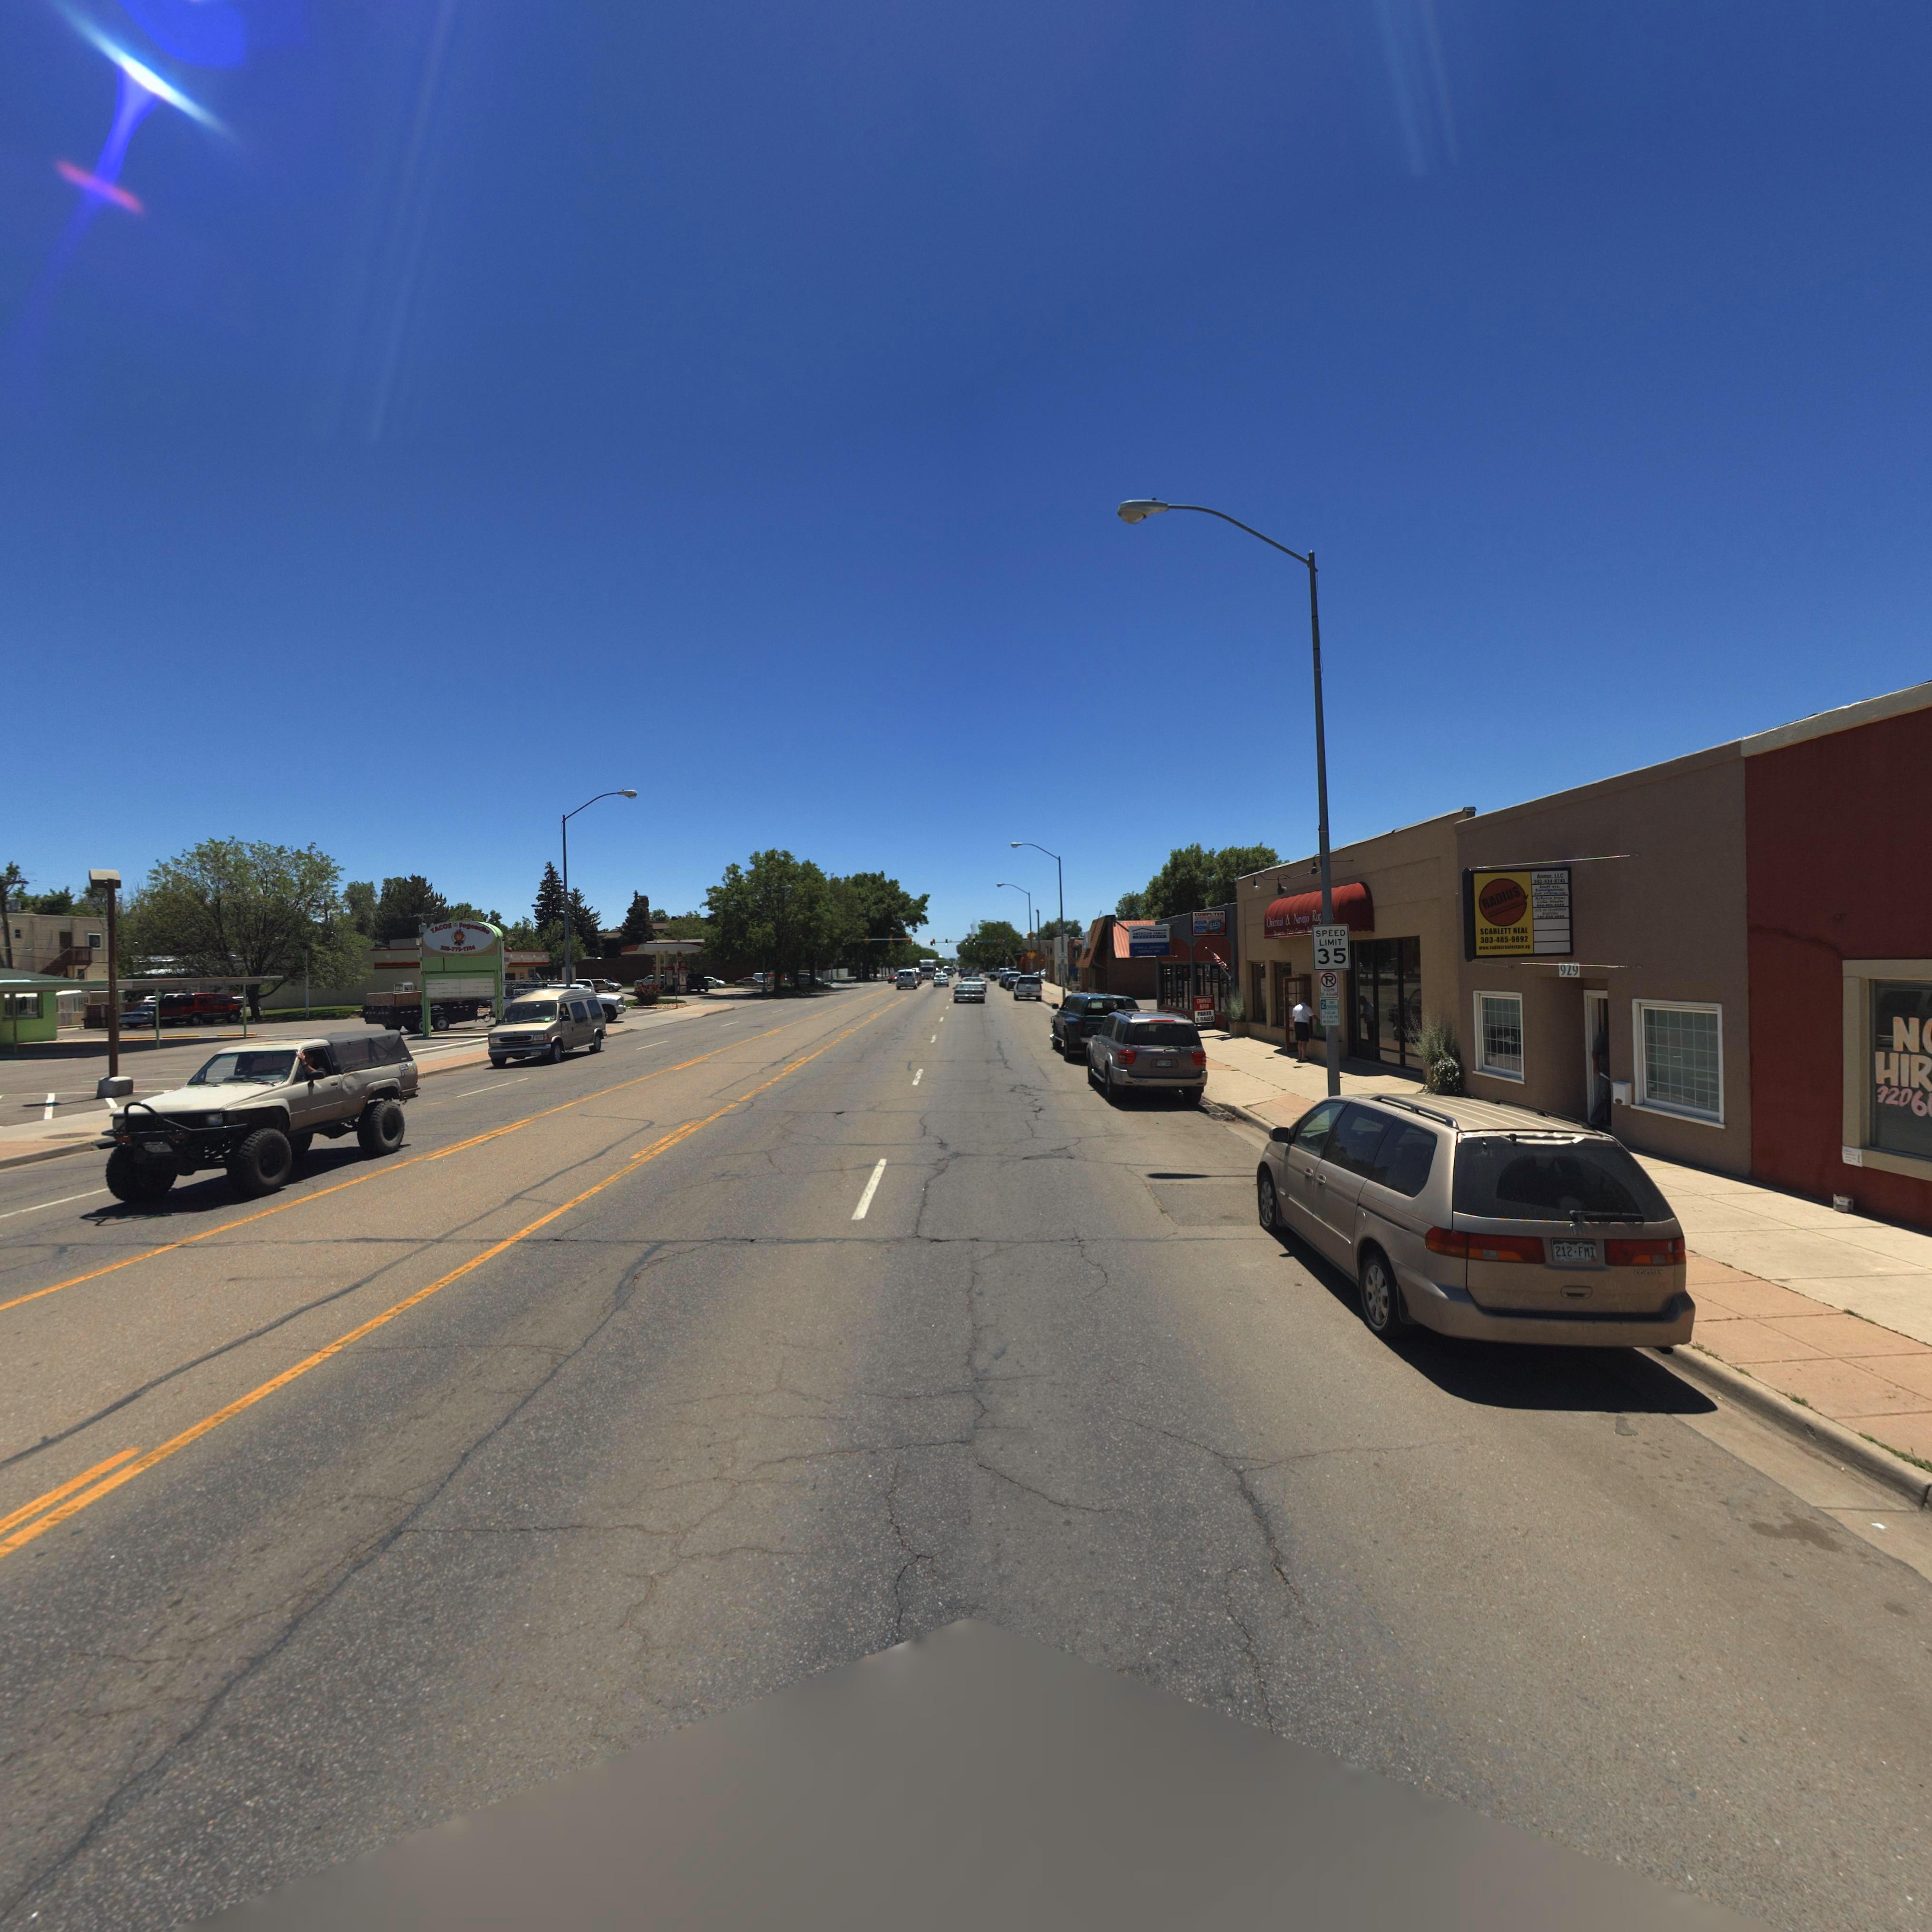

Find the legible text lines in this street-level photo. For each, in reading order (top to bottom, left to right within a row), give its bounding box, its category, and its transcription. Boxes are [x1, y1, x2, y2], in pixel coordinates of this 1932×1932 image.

[1537, 872, 1564, 879] BusinessName: Ar****, LLC
[1539, 885, 1560, 889] BusinessName: S***T ***
[1535, 888, 1564, 892] BusinessName: C*********
[1481, 886, 1521, 909] BusinessName: RADIUS
[1535, 896, 1565, 900] BusinessName: R******* J****
[1534, 908, 1566, 912] BusinessName: ACE OF D********
[1194, 912, 1224, 916] BusinessName: COMPUTER
[1265, 909, 1322, 928] BusinessName: ORienTal & Navajo Rug Co.
[429, 922, 489, 934] BusinessName: TACOS EL Fogo*cito
[1132, 931, 1166, 935] BusinessName: A******N F***LY
[1559, 963, 1578, 976] StreetNumber: 929